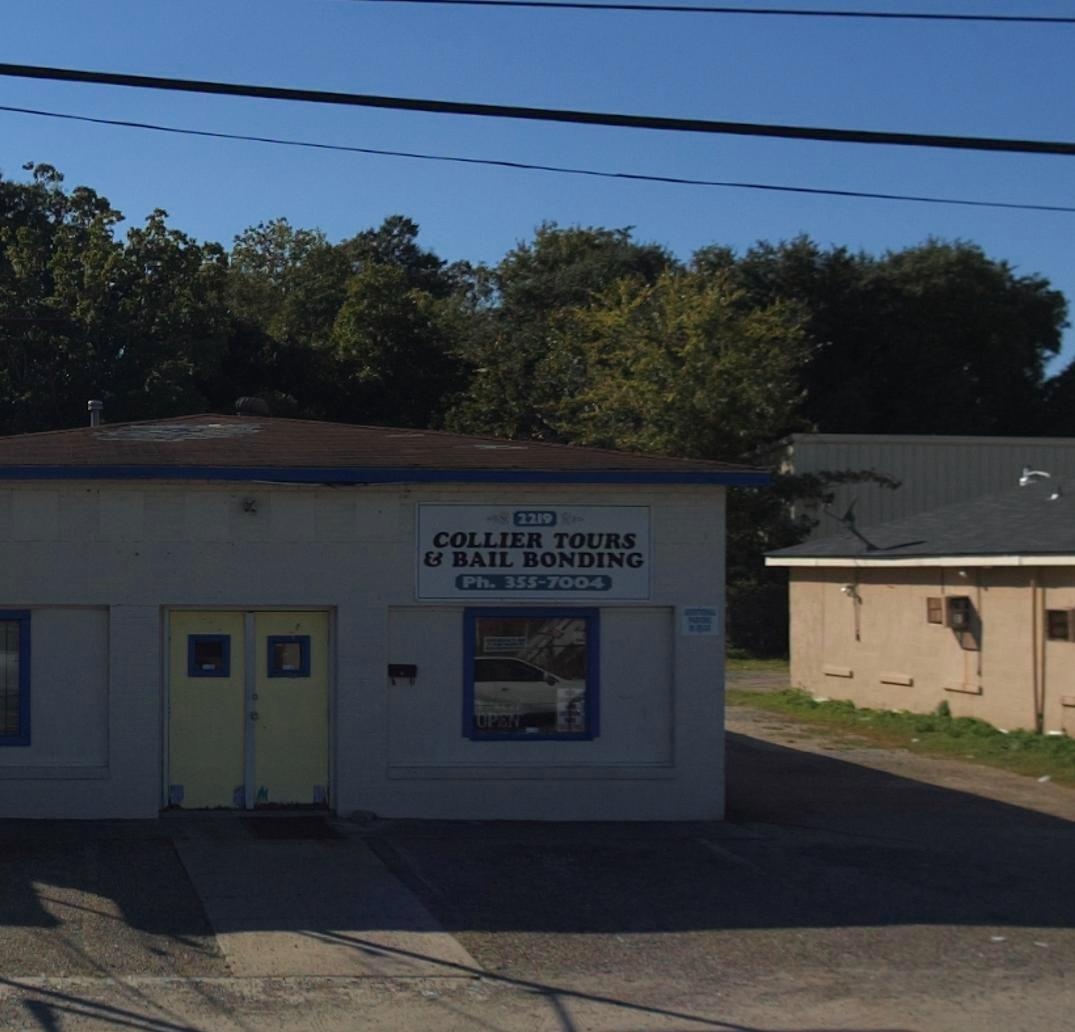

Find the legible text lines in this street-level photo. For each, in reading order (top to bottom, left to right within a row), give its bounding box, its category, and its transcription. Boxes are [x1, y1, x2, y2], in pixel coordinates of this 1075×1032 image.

[516, 512, 554, 525] StreetNumber: 2219
[429, 530, 638, 550] BusinessName: COLLIER TOURS
[450, 550, 644, 569] BusinessName: BAIL BONDING
[462, 575, 605, 590] None: Ph. 355-7004
[476, 711, 520, 728] None: OPEN